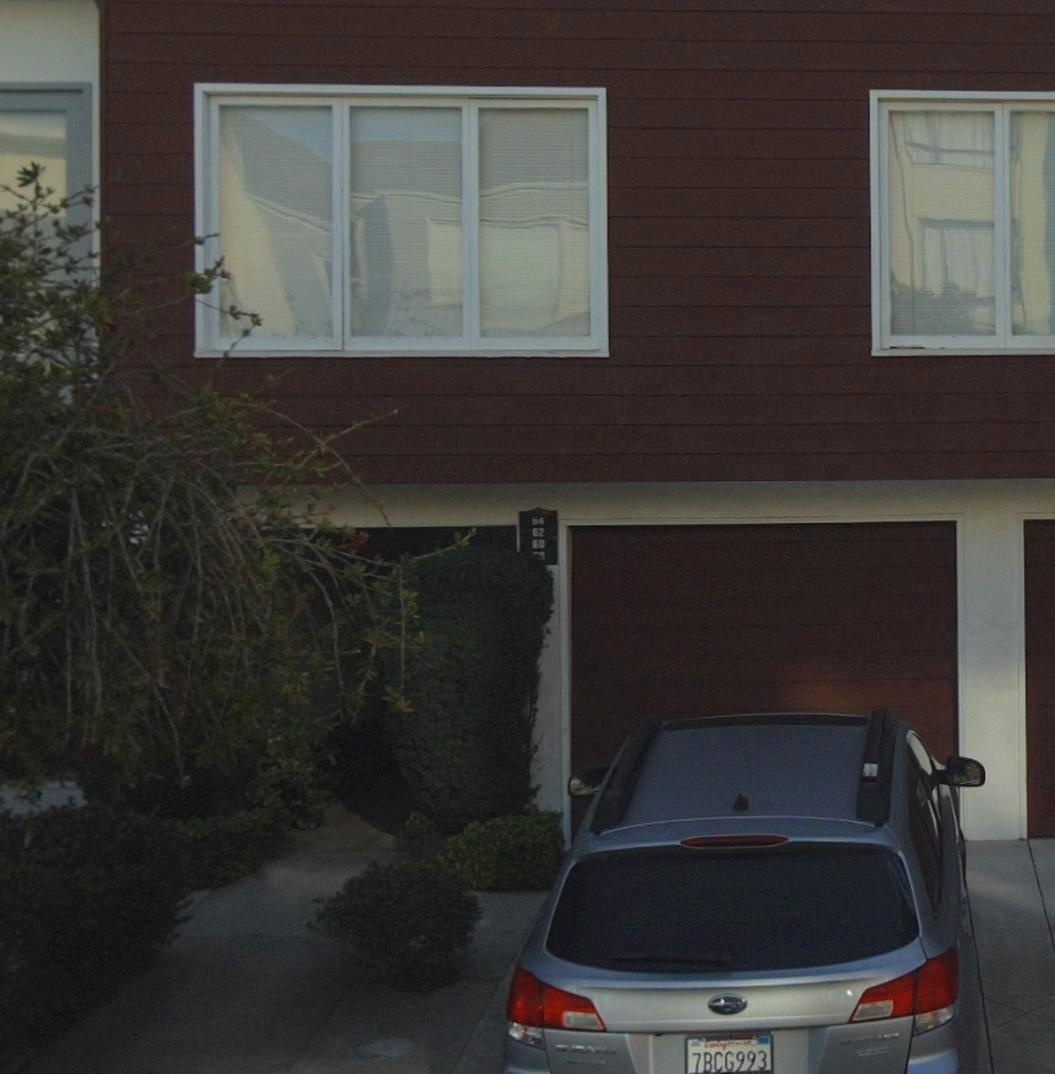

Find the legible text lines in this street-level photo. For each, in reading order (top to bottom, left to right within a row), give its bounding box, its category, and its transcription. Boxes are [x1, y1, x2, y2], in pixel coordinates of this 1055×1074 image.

[530, 514, 547, 527] StreetNumber: 64
[530, 526, 547, 539] StreetNumber: 62
[530, 537, 547, 550] StreetNumber: 60
[689, 1047, 769, 1073] None: 7BCG993